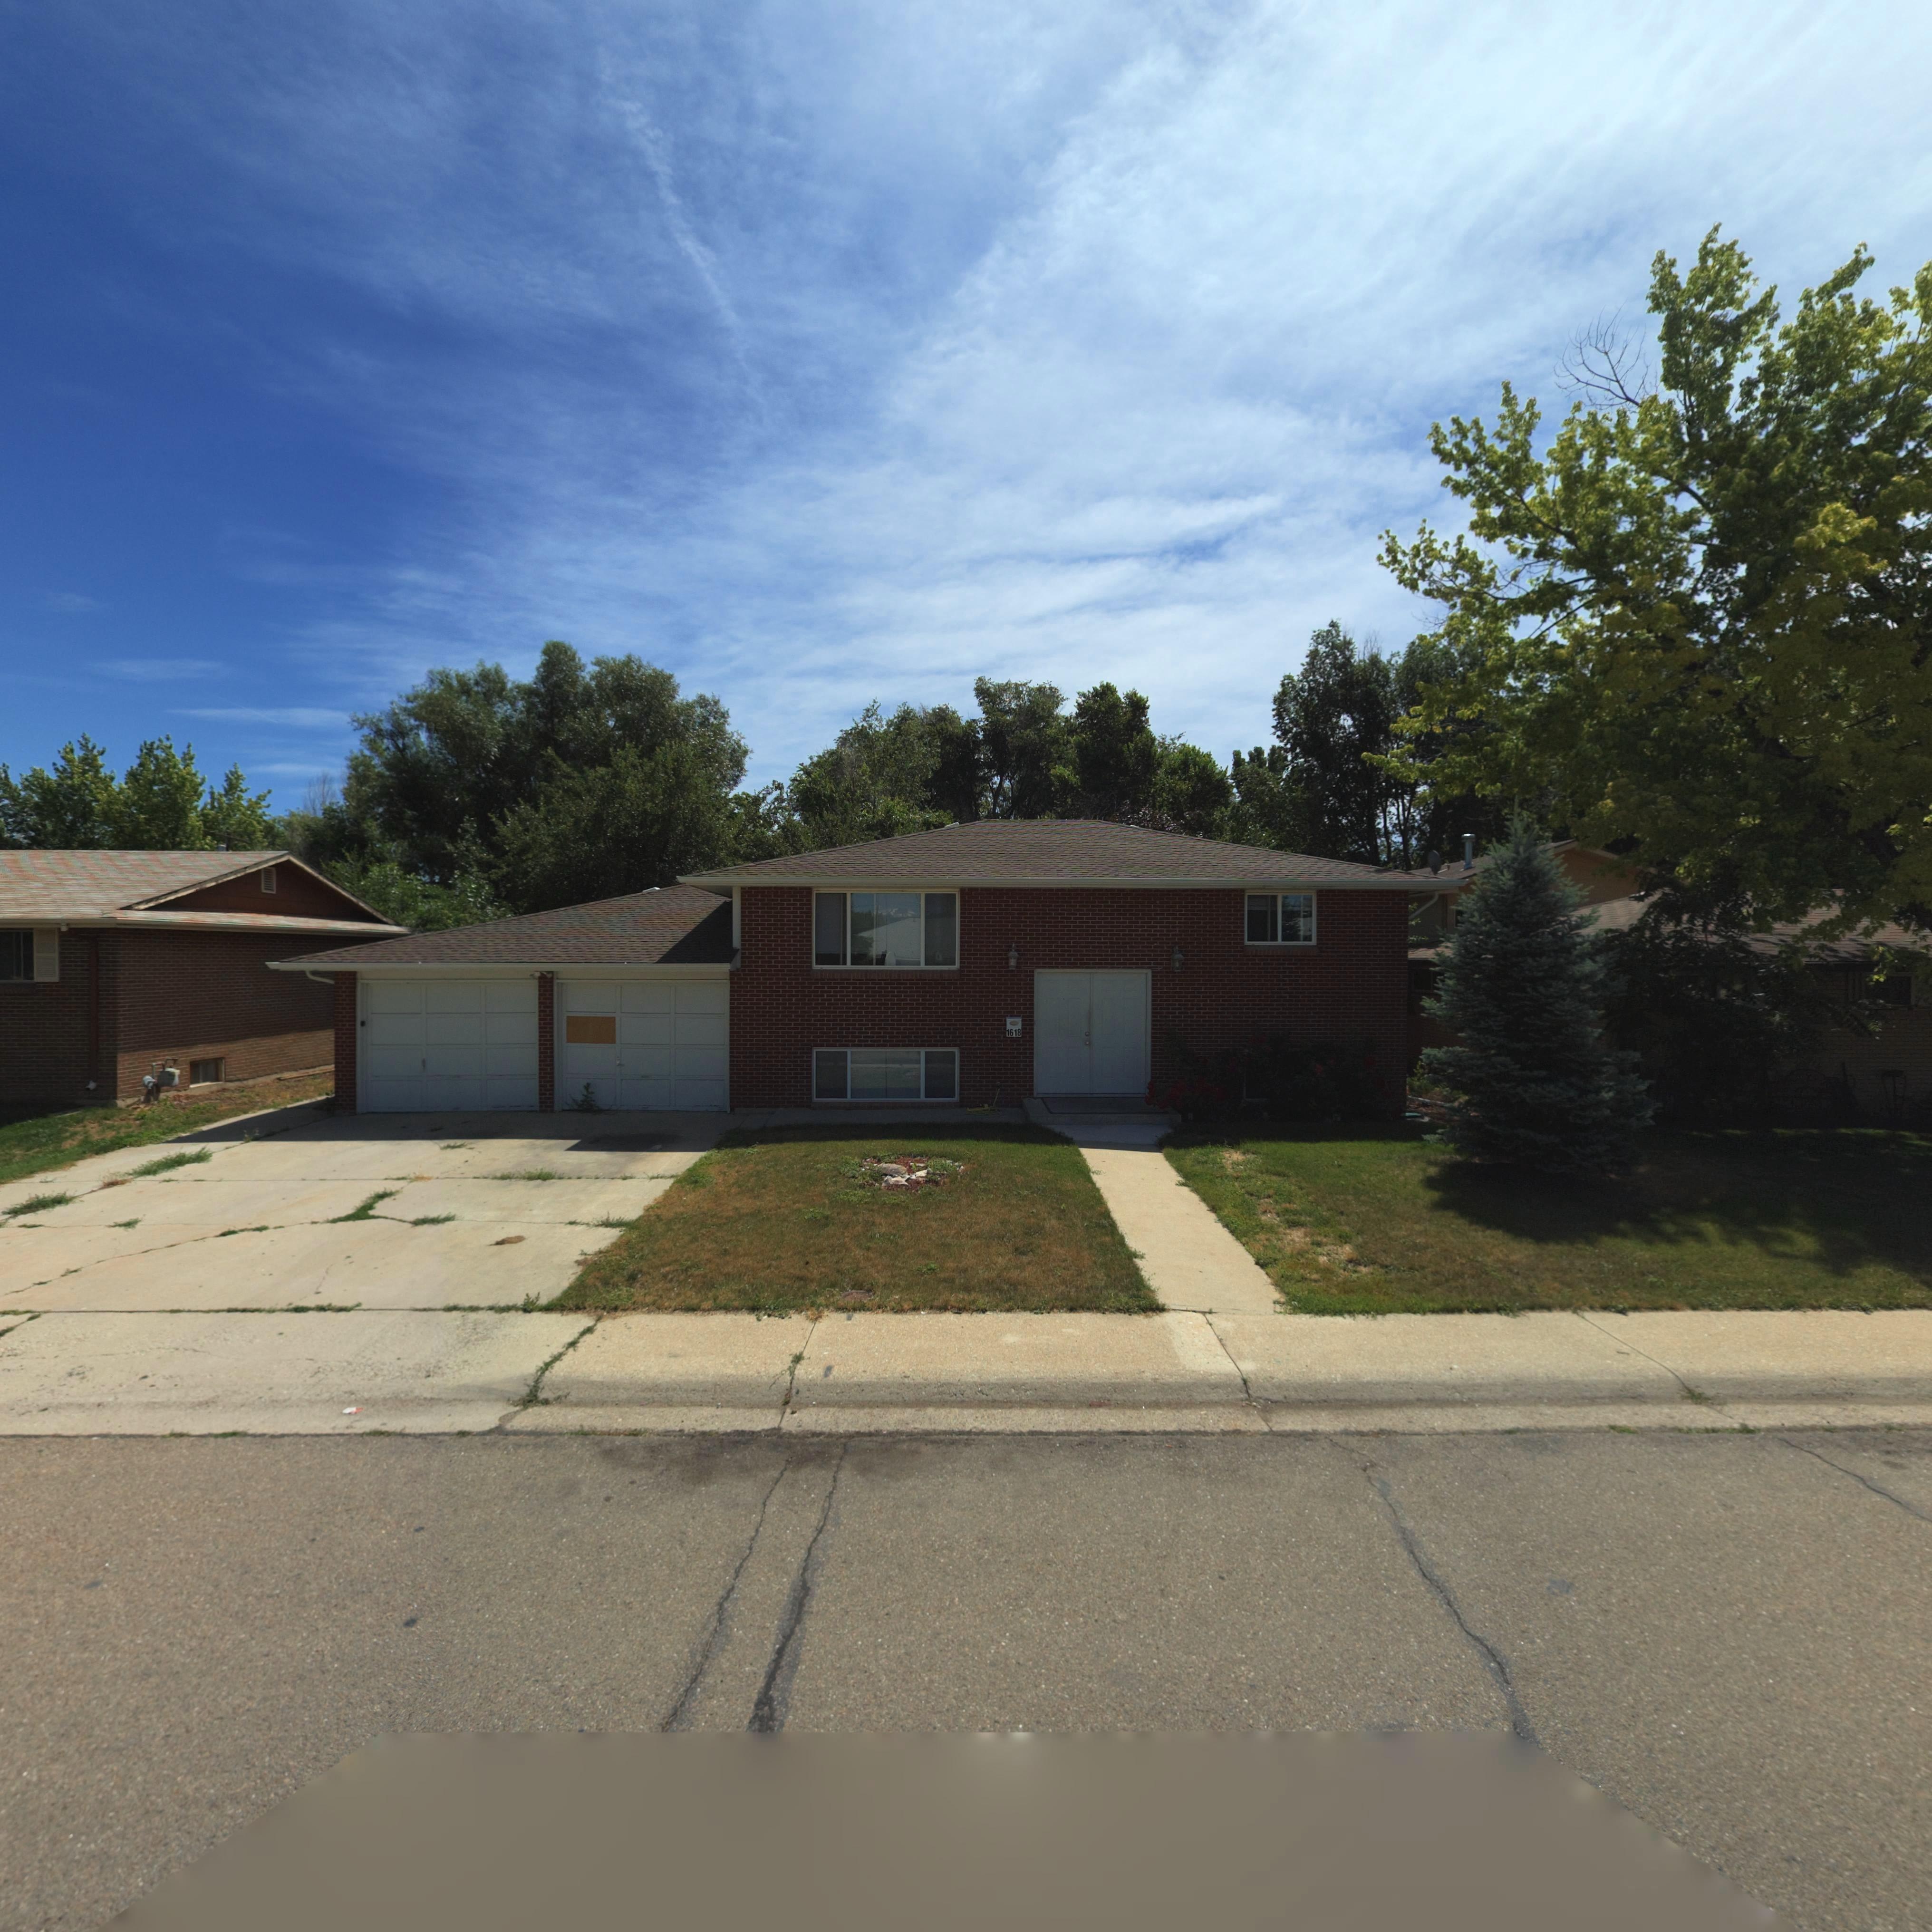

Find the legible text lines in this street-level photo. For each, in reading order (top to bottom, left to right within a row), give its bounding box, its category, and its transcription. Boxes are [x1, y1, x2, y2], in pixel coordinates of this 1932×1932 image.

[1006, 1028, 1021, 1036] StreetNumber: 1618